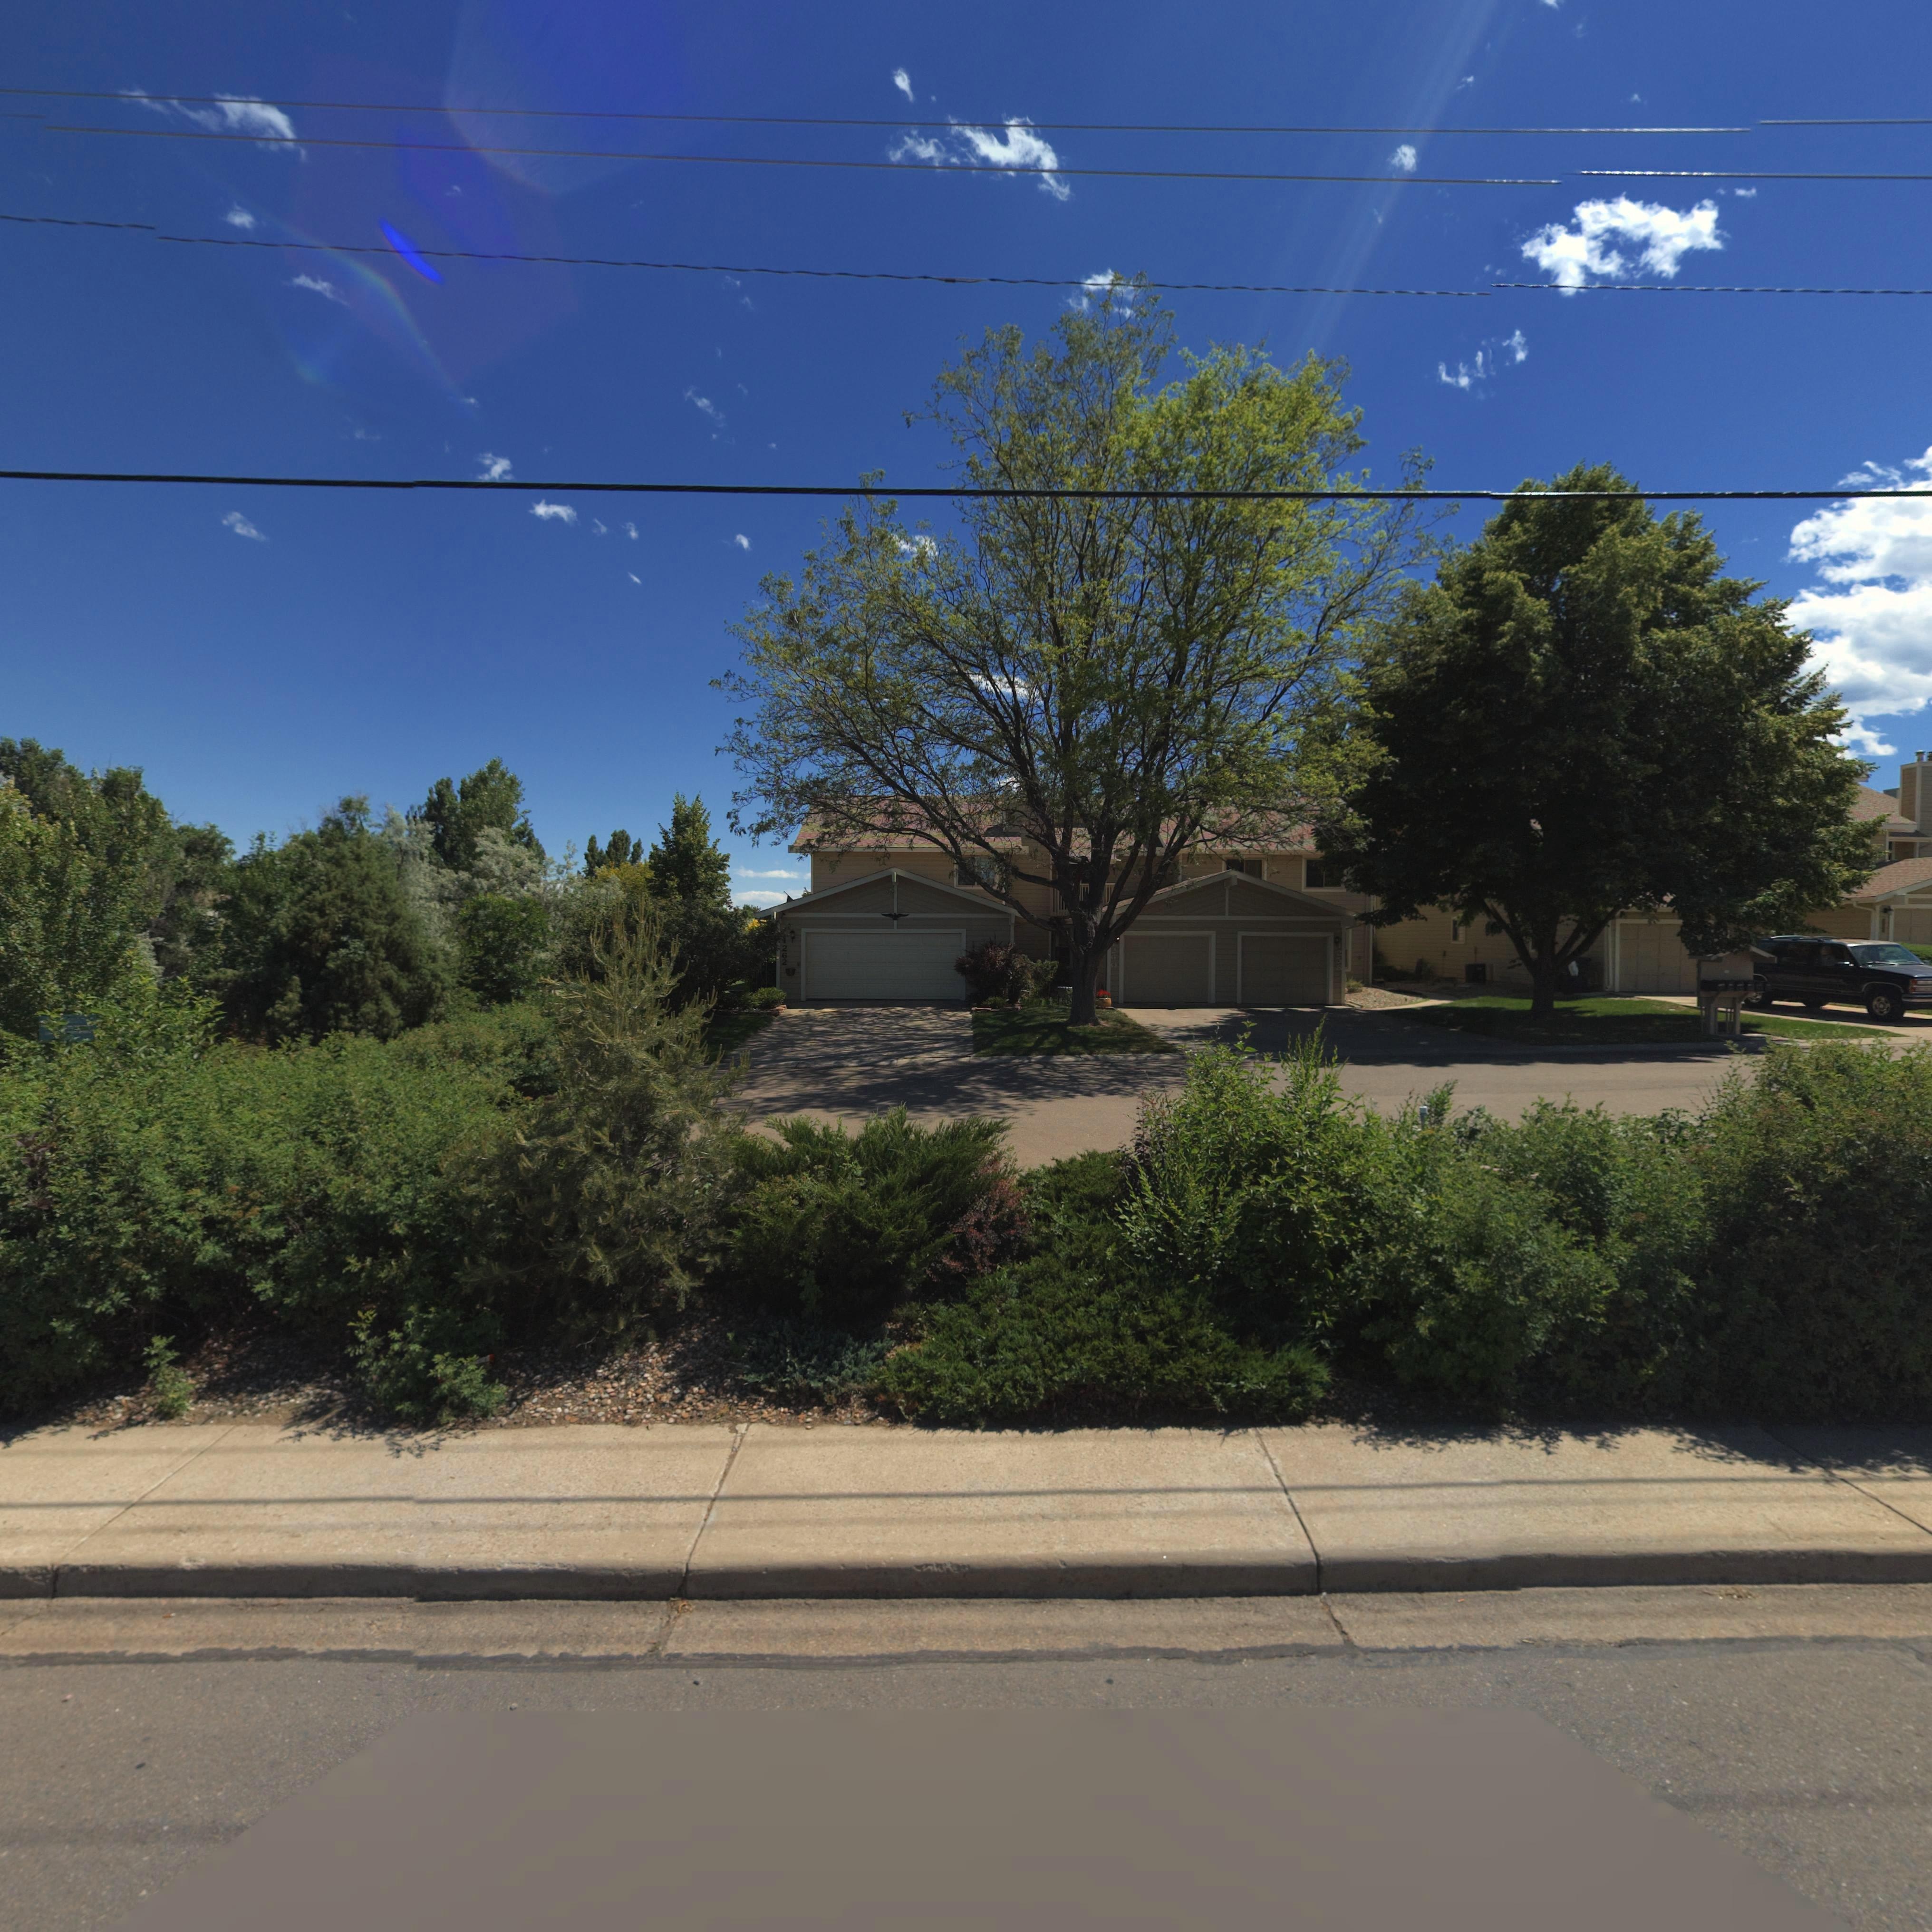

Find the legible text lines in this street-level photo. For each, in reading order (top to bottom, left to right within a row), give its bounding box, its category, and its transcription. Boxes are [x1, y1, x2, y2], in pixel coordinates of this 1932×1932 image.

[781, 936, 787, 965] StreetNumber: 1262
[1110, 947, 1117, 969] StreetNumber: 260
[1335, 942, 1343, 971] StreetNumber: 1258